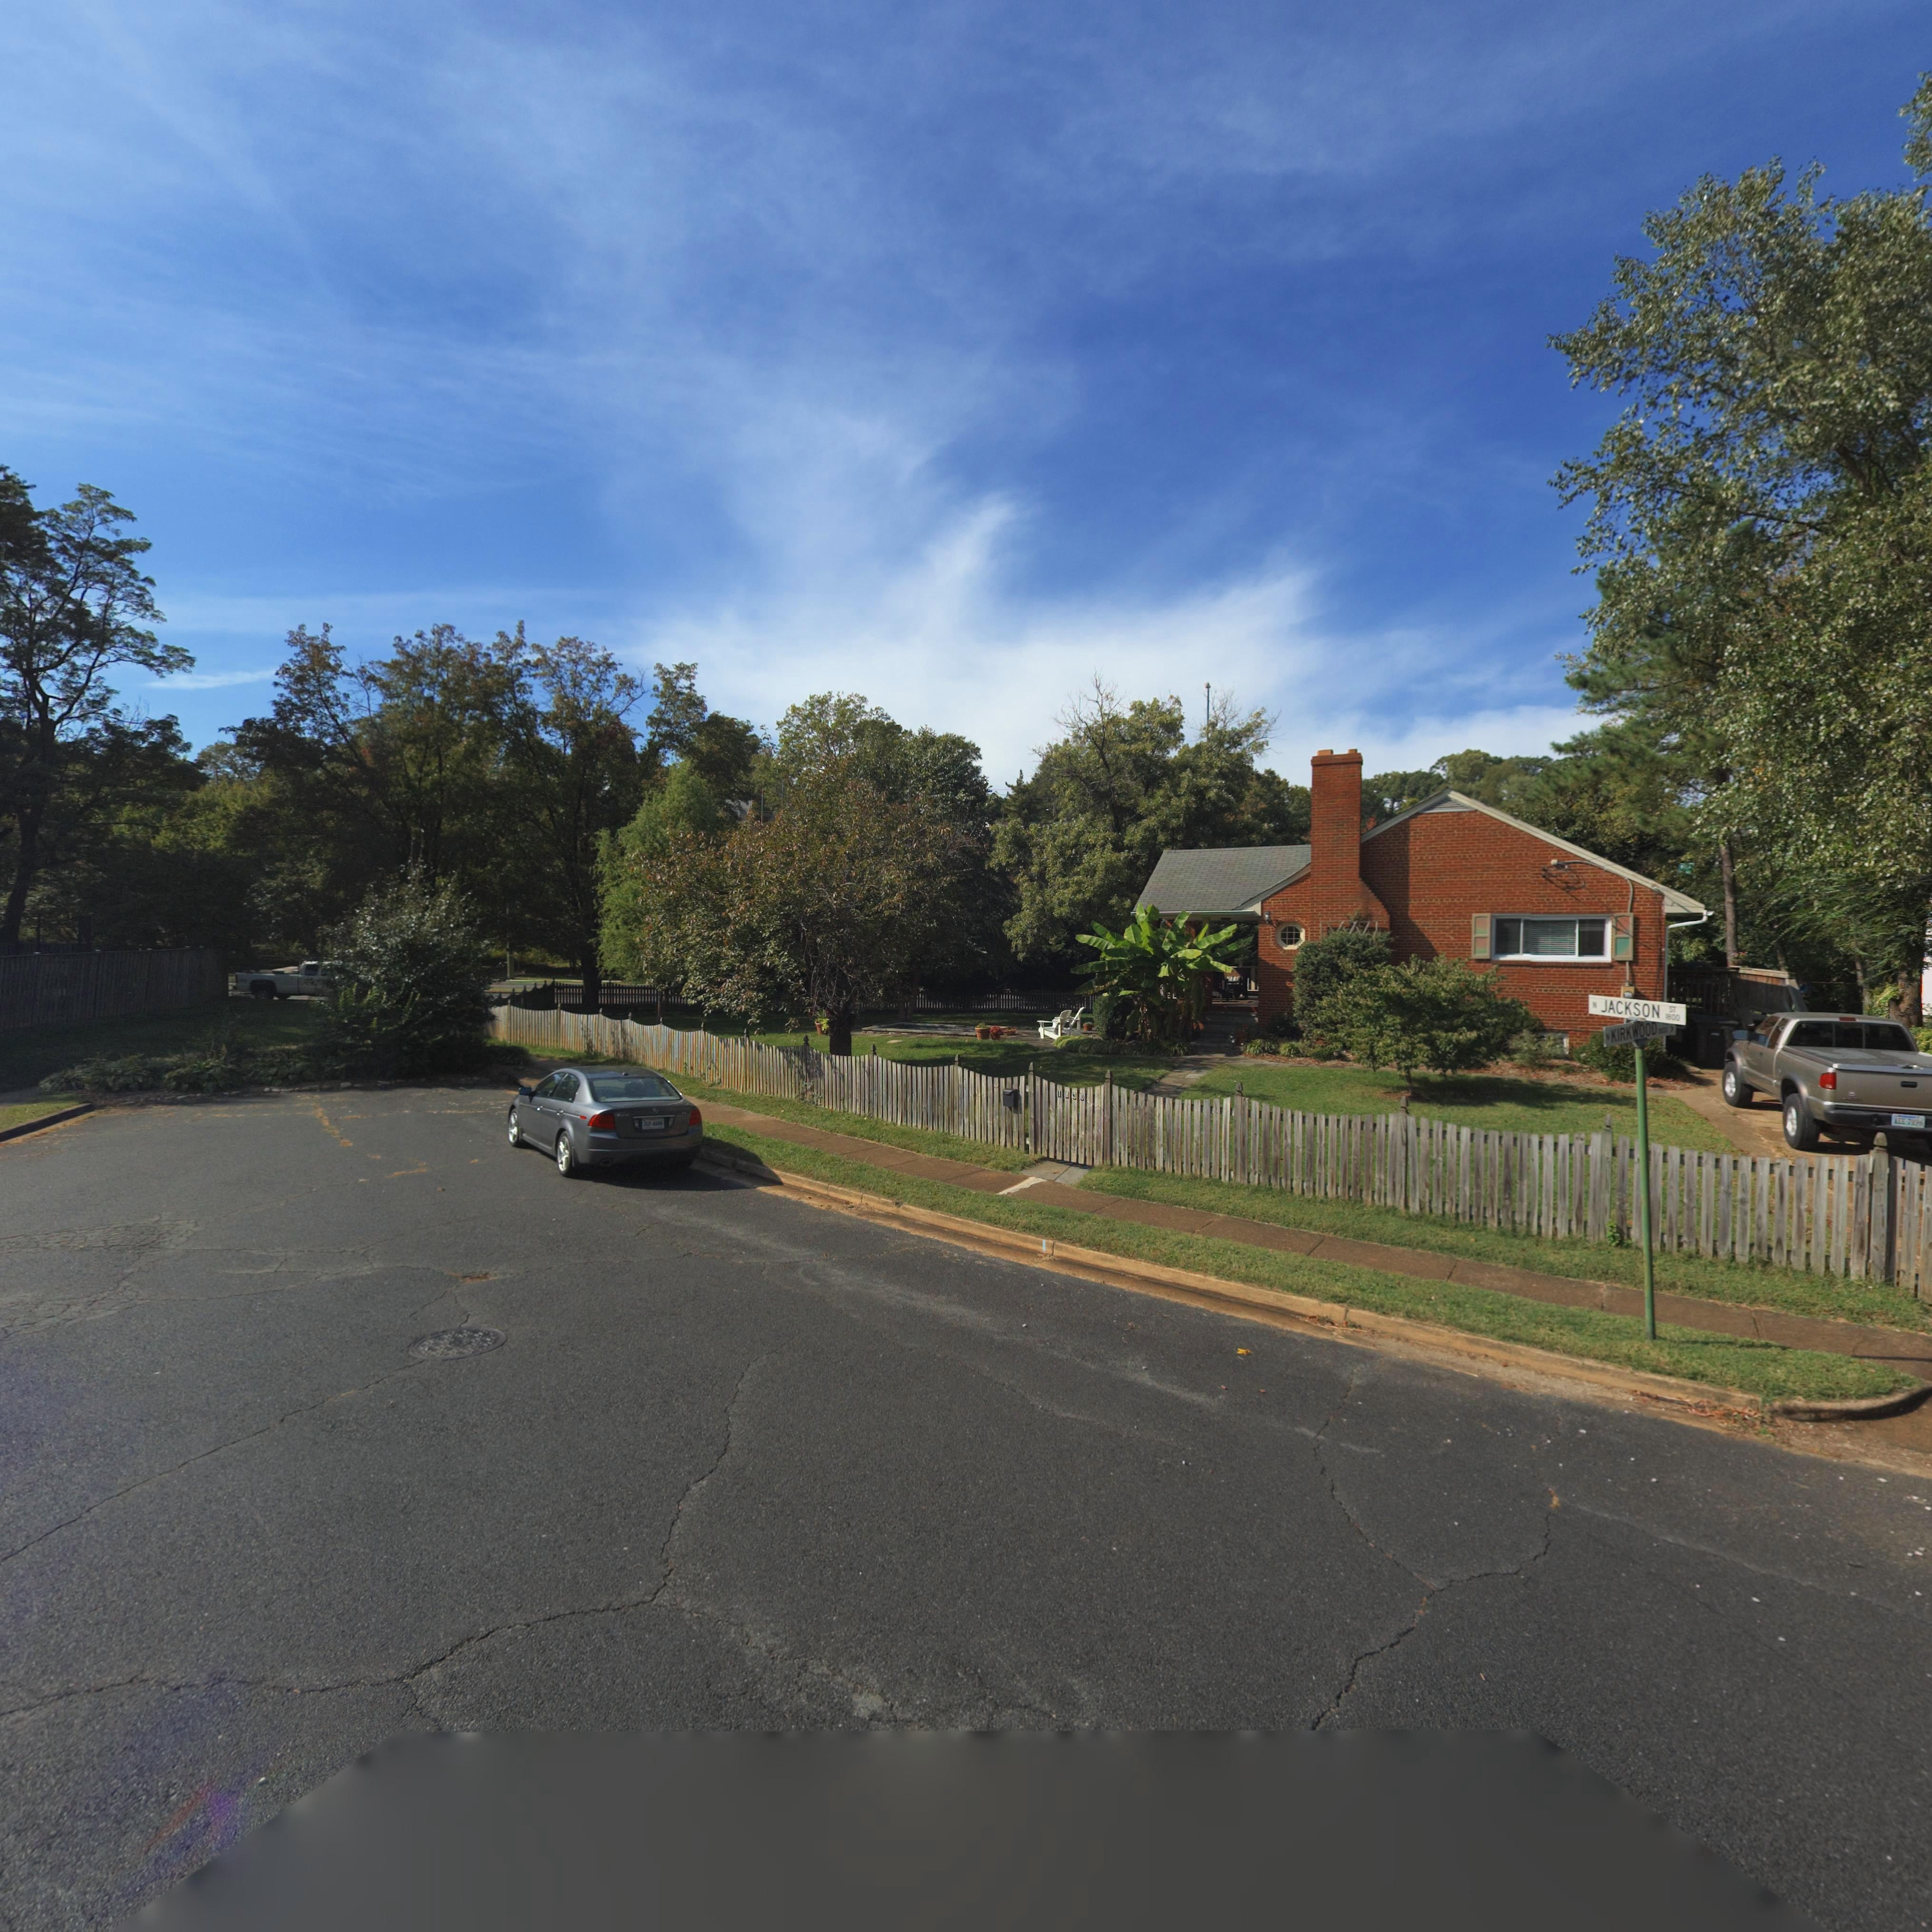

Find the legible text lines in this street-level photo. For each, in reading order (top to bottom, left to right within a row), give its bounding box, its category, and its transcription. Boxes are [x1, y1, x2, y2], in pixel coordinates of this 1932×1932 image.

[1592, 1001, 1598, 1008] StreetName: N
[1600, 999, 1661, 1020] StreetName: JACKSON
[1669, 1006, 1677, 1013] StreetName: ST
[1665, 1012, 1680, 1022] StreetNumberRange: 1800
[1605, 1033, 1611, 1041] StreetName: N
[1611, 1021, 1658, 1043] StreetName: KIRKWOOD
[1658, 1025, 1675, 1034] StreetNumberRange: 1800 >
[643, 1121, 664, 1127] None: JCP-4605
[1894, 1117, 1923, 1127] None: KEE-****